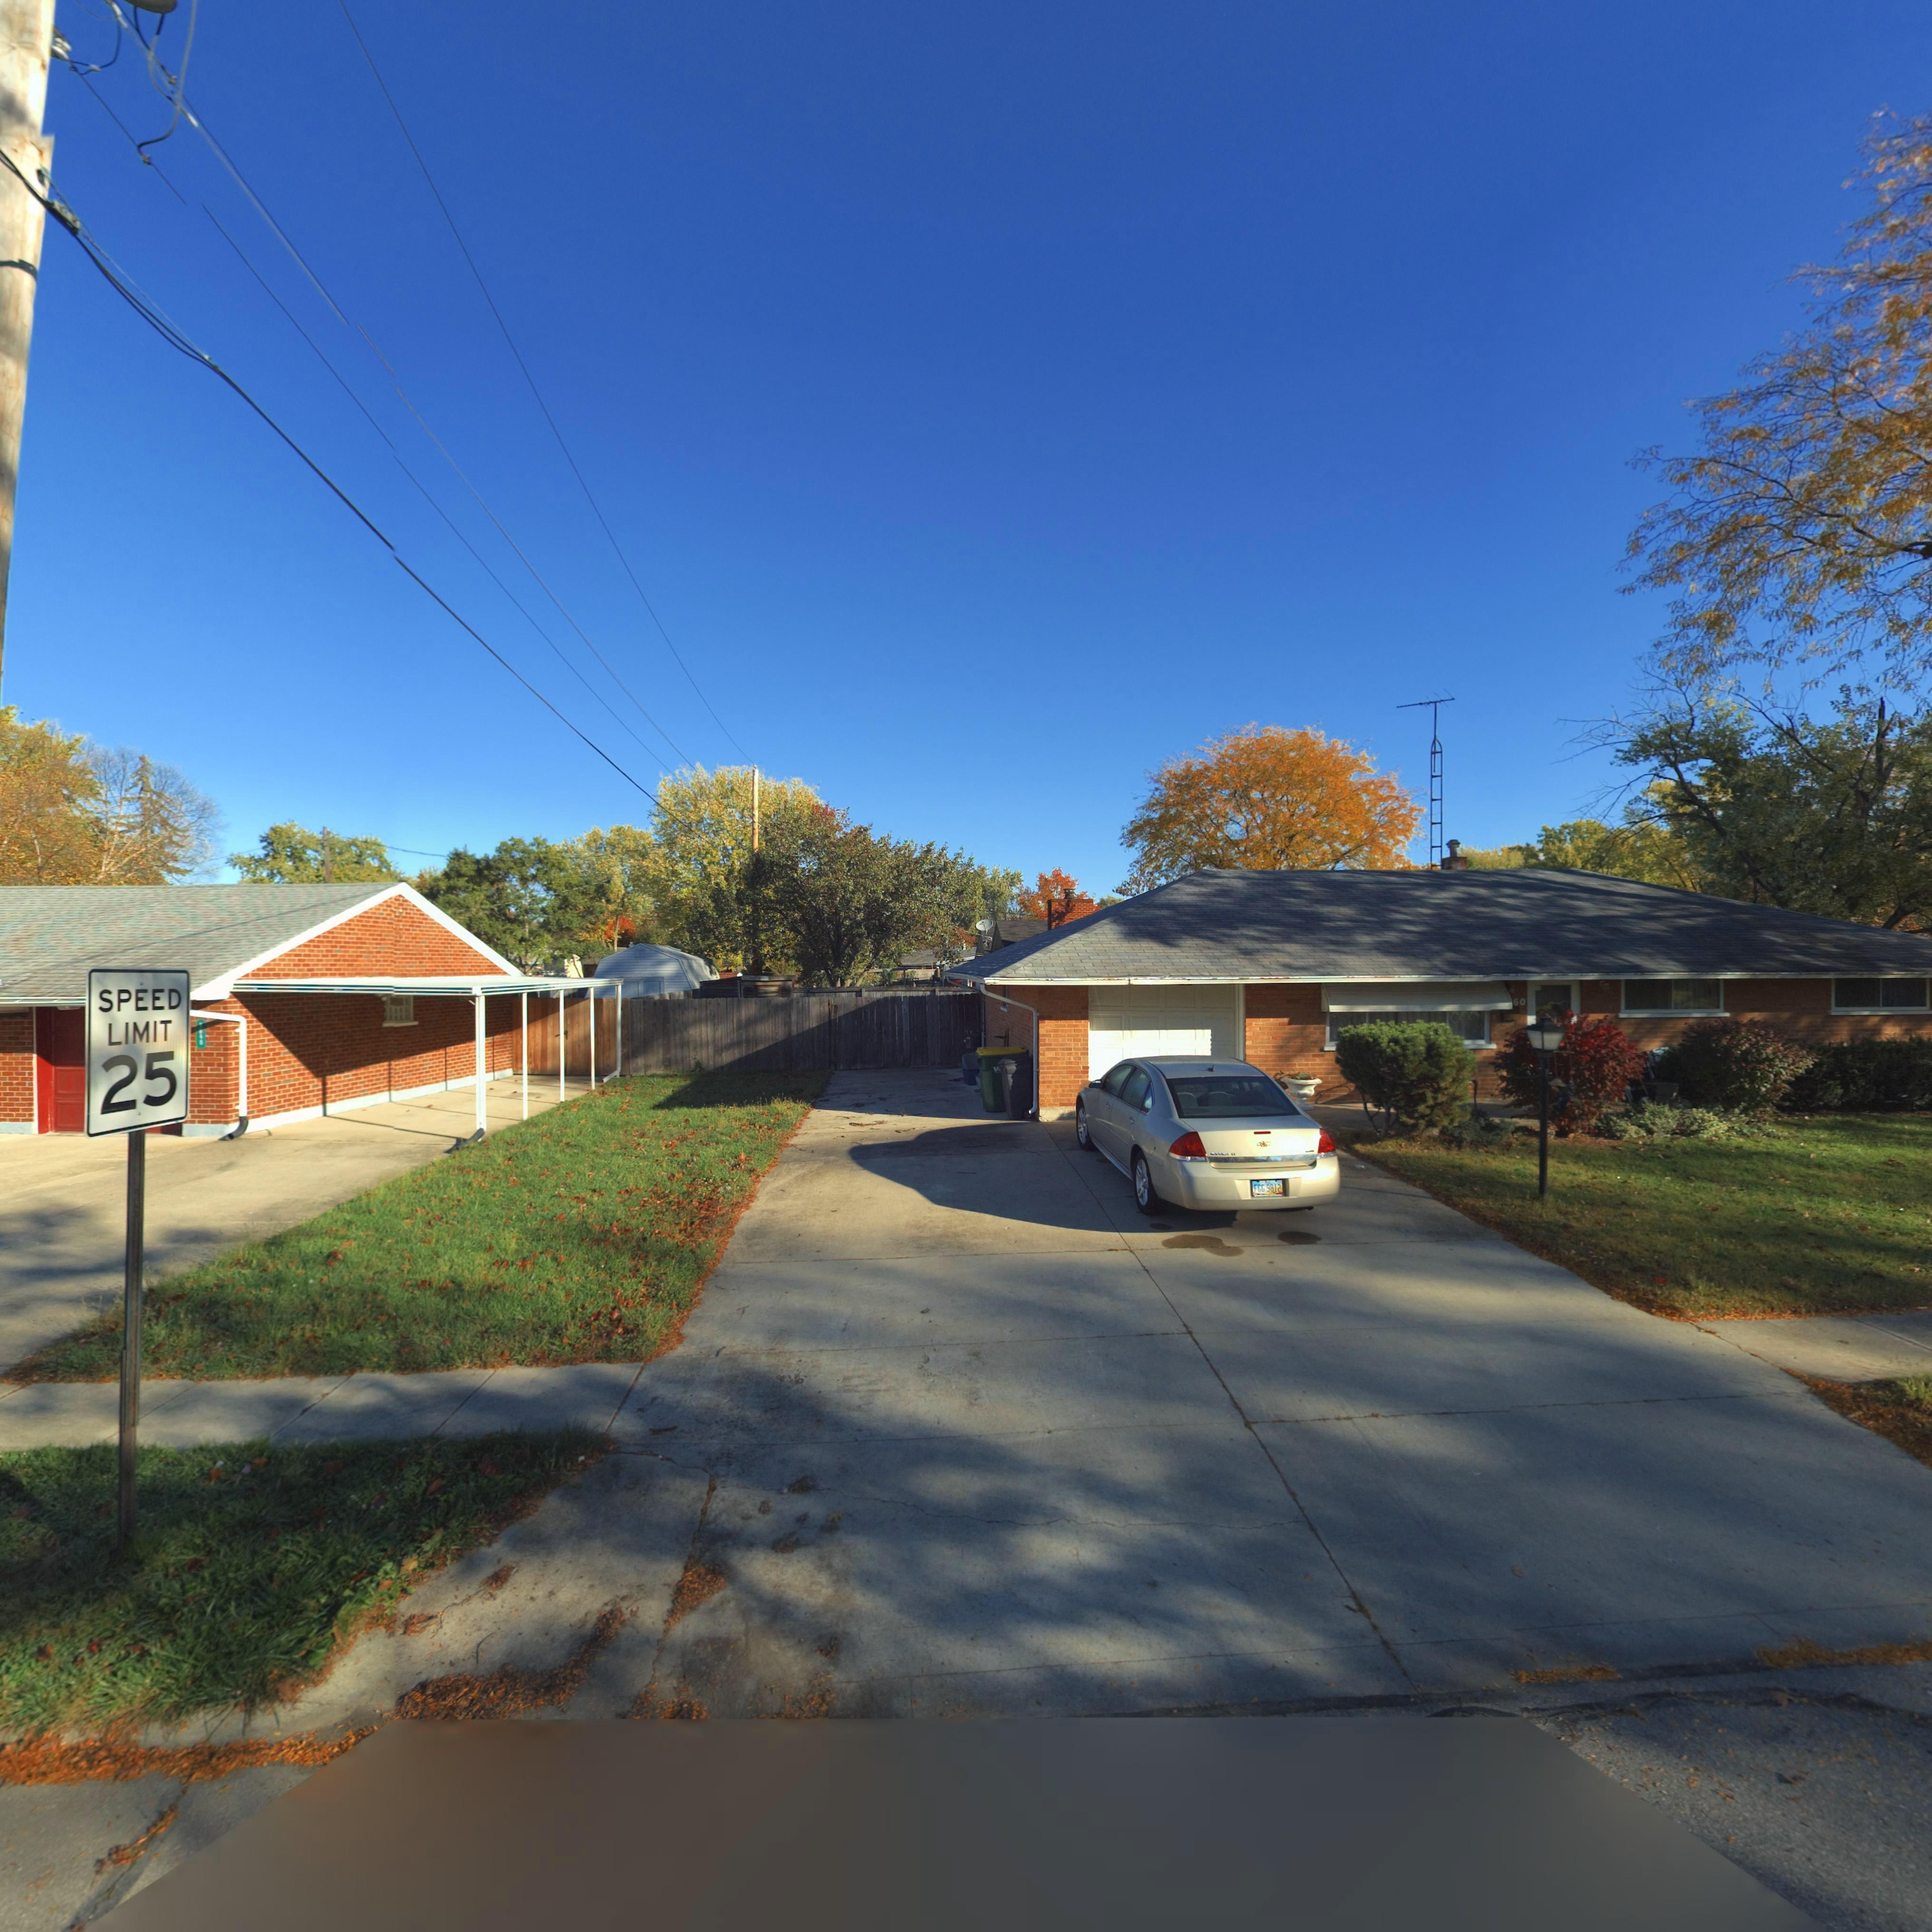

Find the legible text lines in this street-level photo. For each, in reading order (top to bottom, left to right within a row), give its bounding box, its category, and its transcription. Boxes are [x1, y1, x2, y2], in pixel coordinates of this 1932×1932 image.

[1513, 997, 1526, 1006] StreetNumber: 60